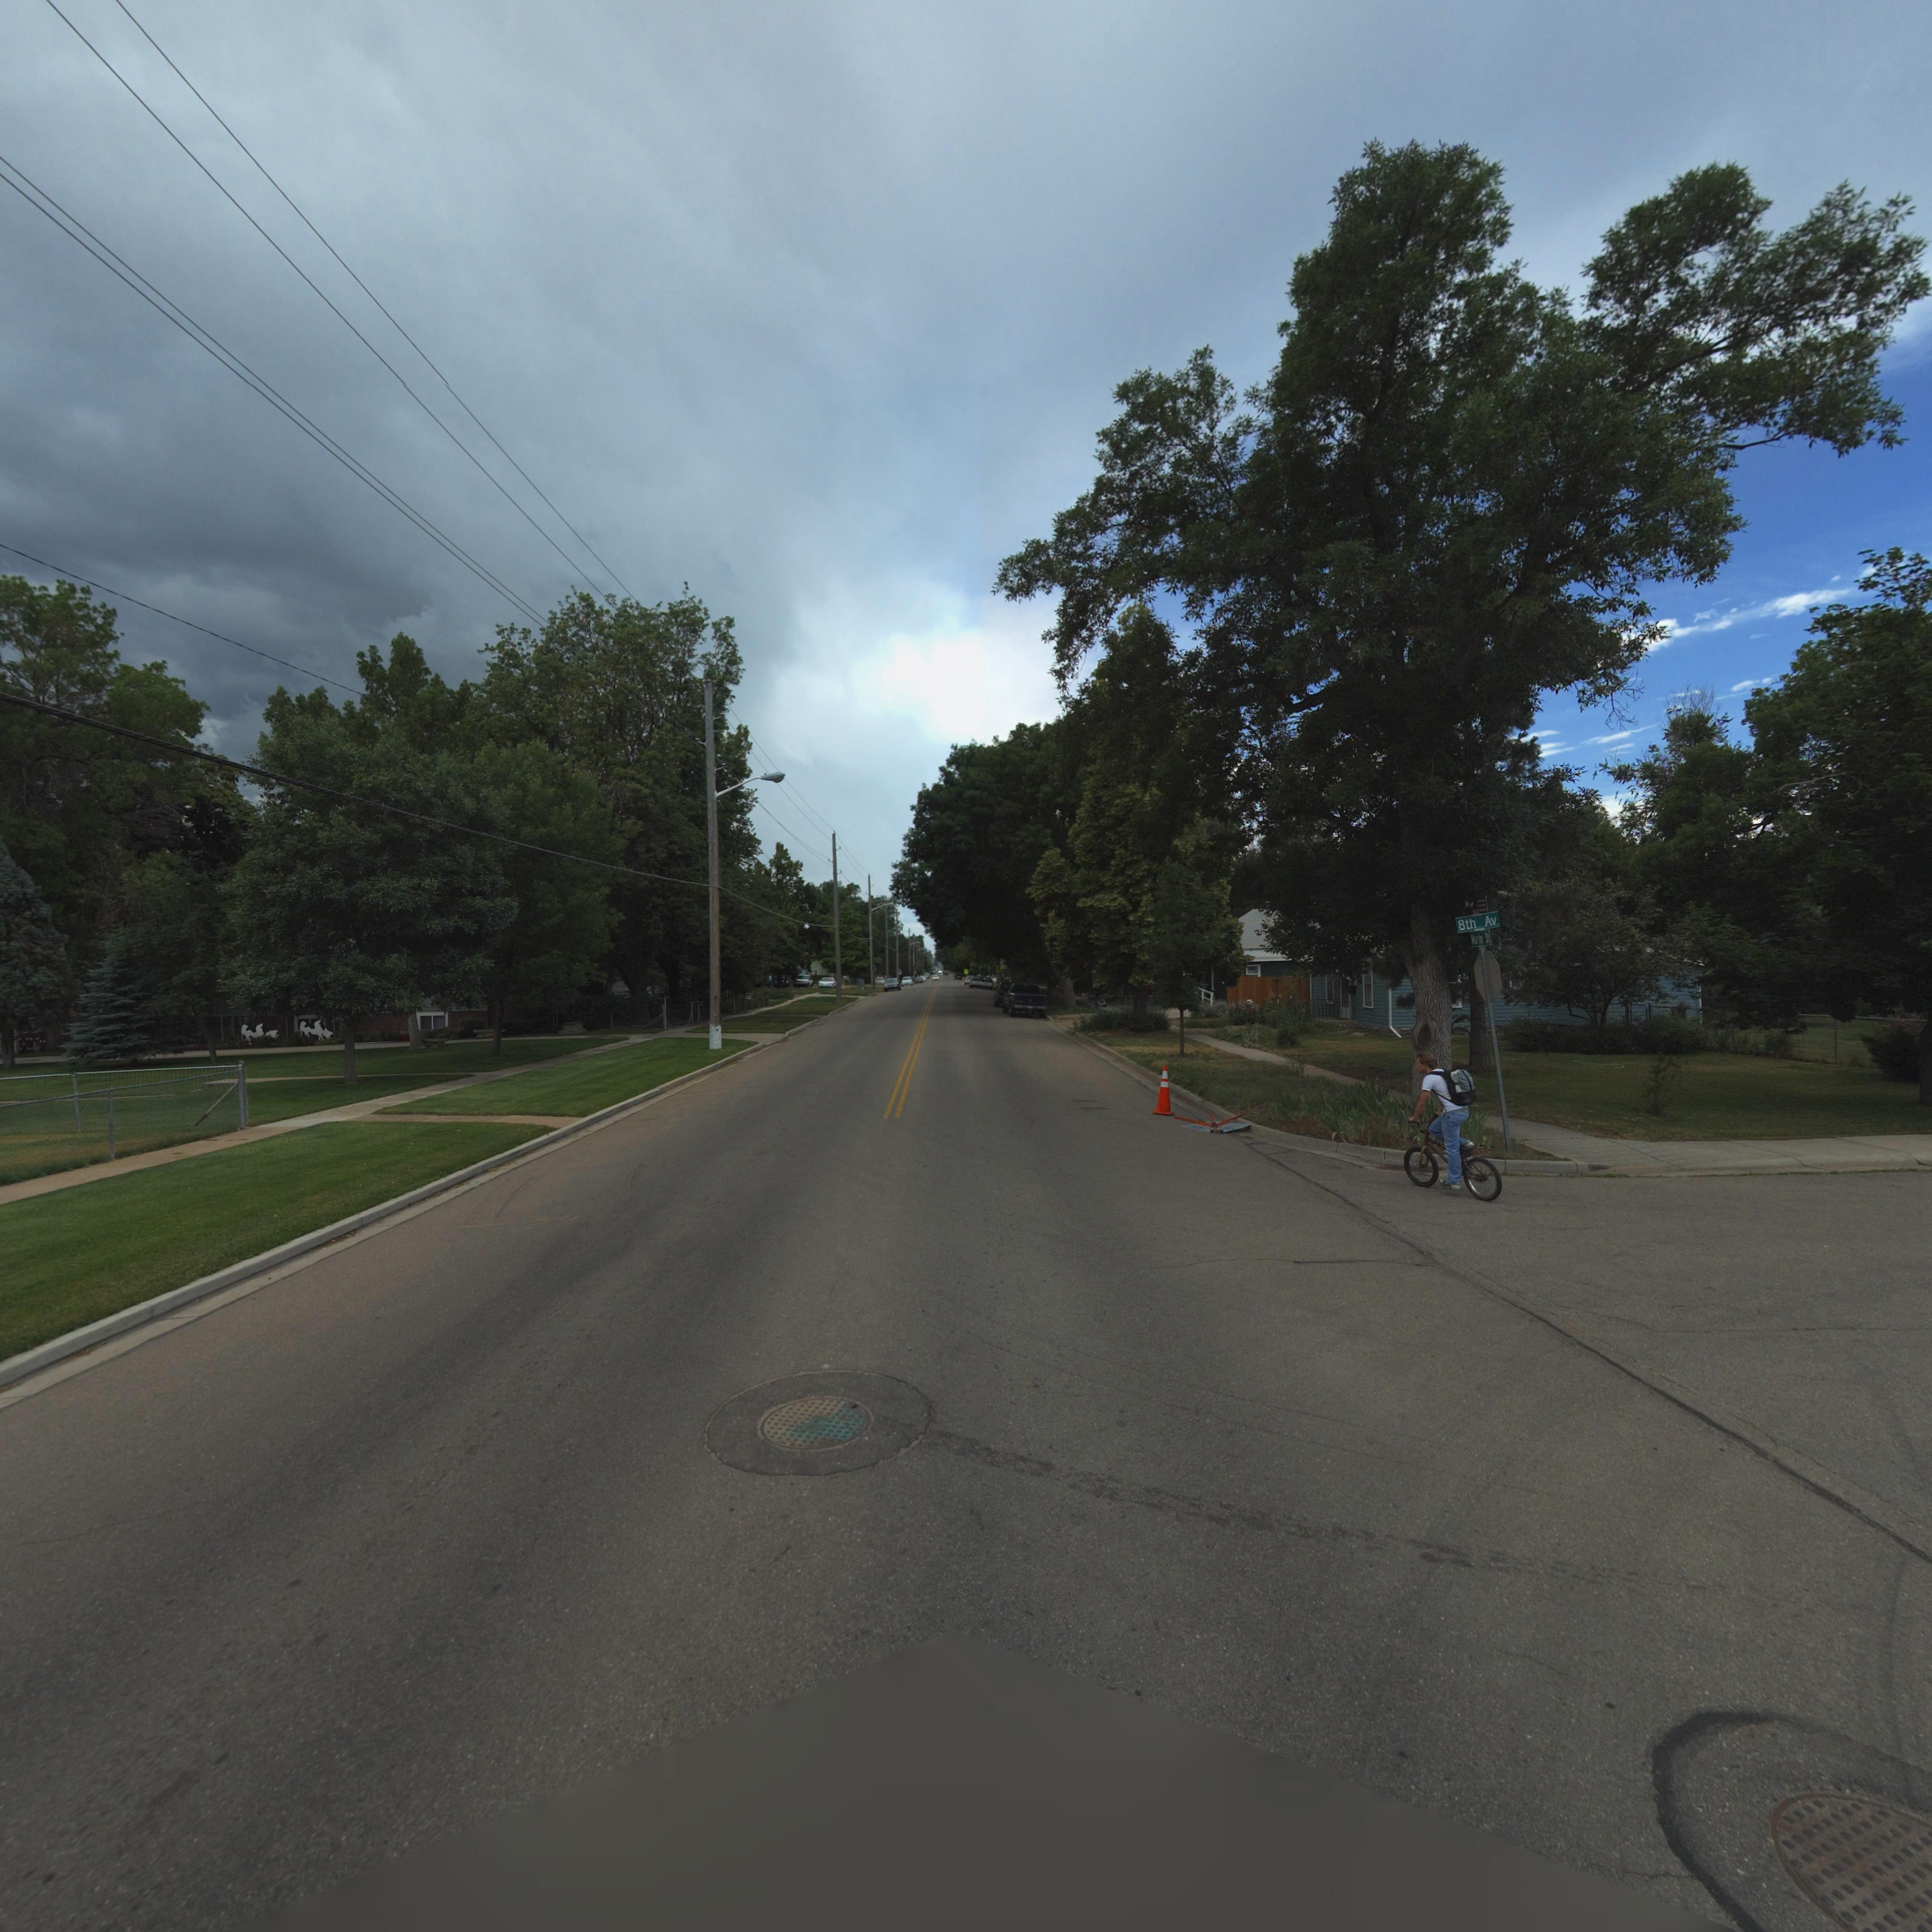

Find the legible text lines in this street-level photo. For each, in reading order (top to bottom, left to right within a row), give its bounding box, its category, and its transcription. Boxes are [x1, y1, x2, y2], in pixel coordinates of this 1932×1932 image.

[1458, 915, 1497, 931] StreetName: 8th Av
[1470, 932, 1490, 945] StreetName: Martin St